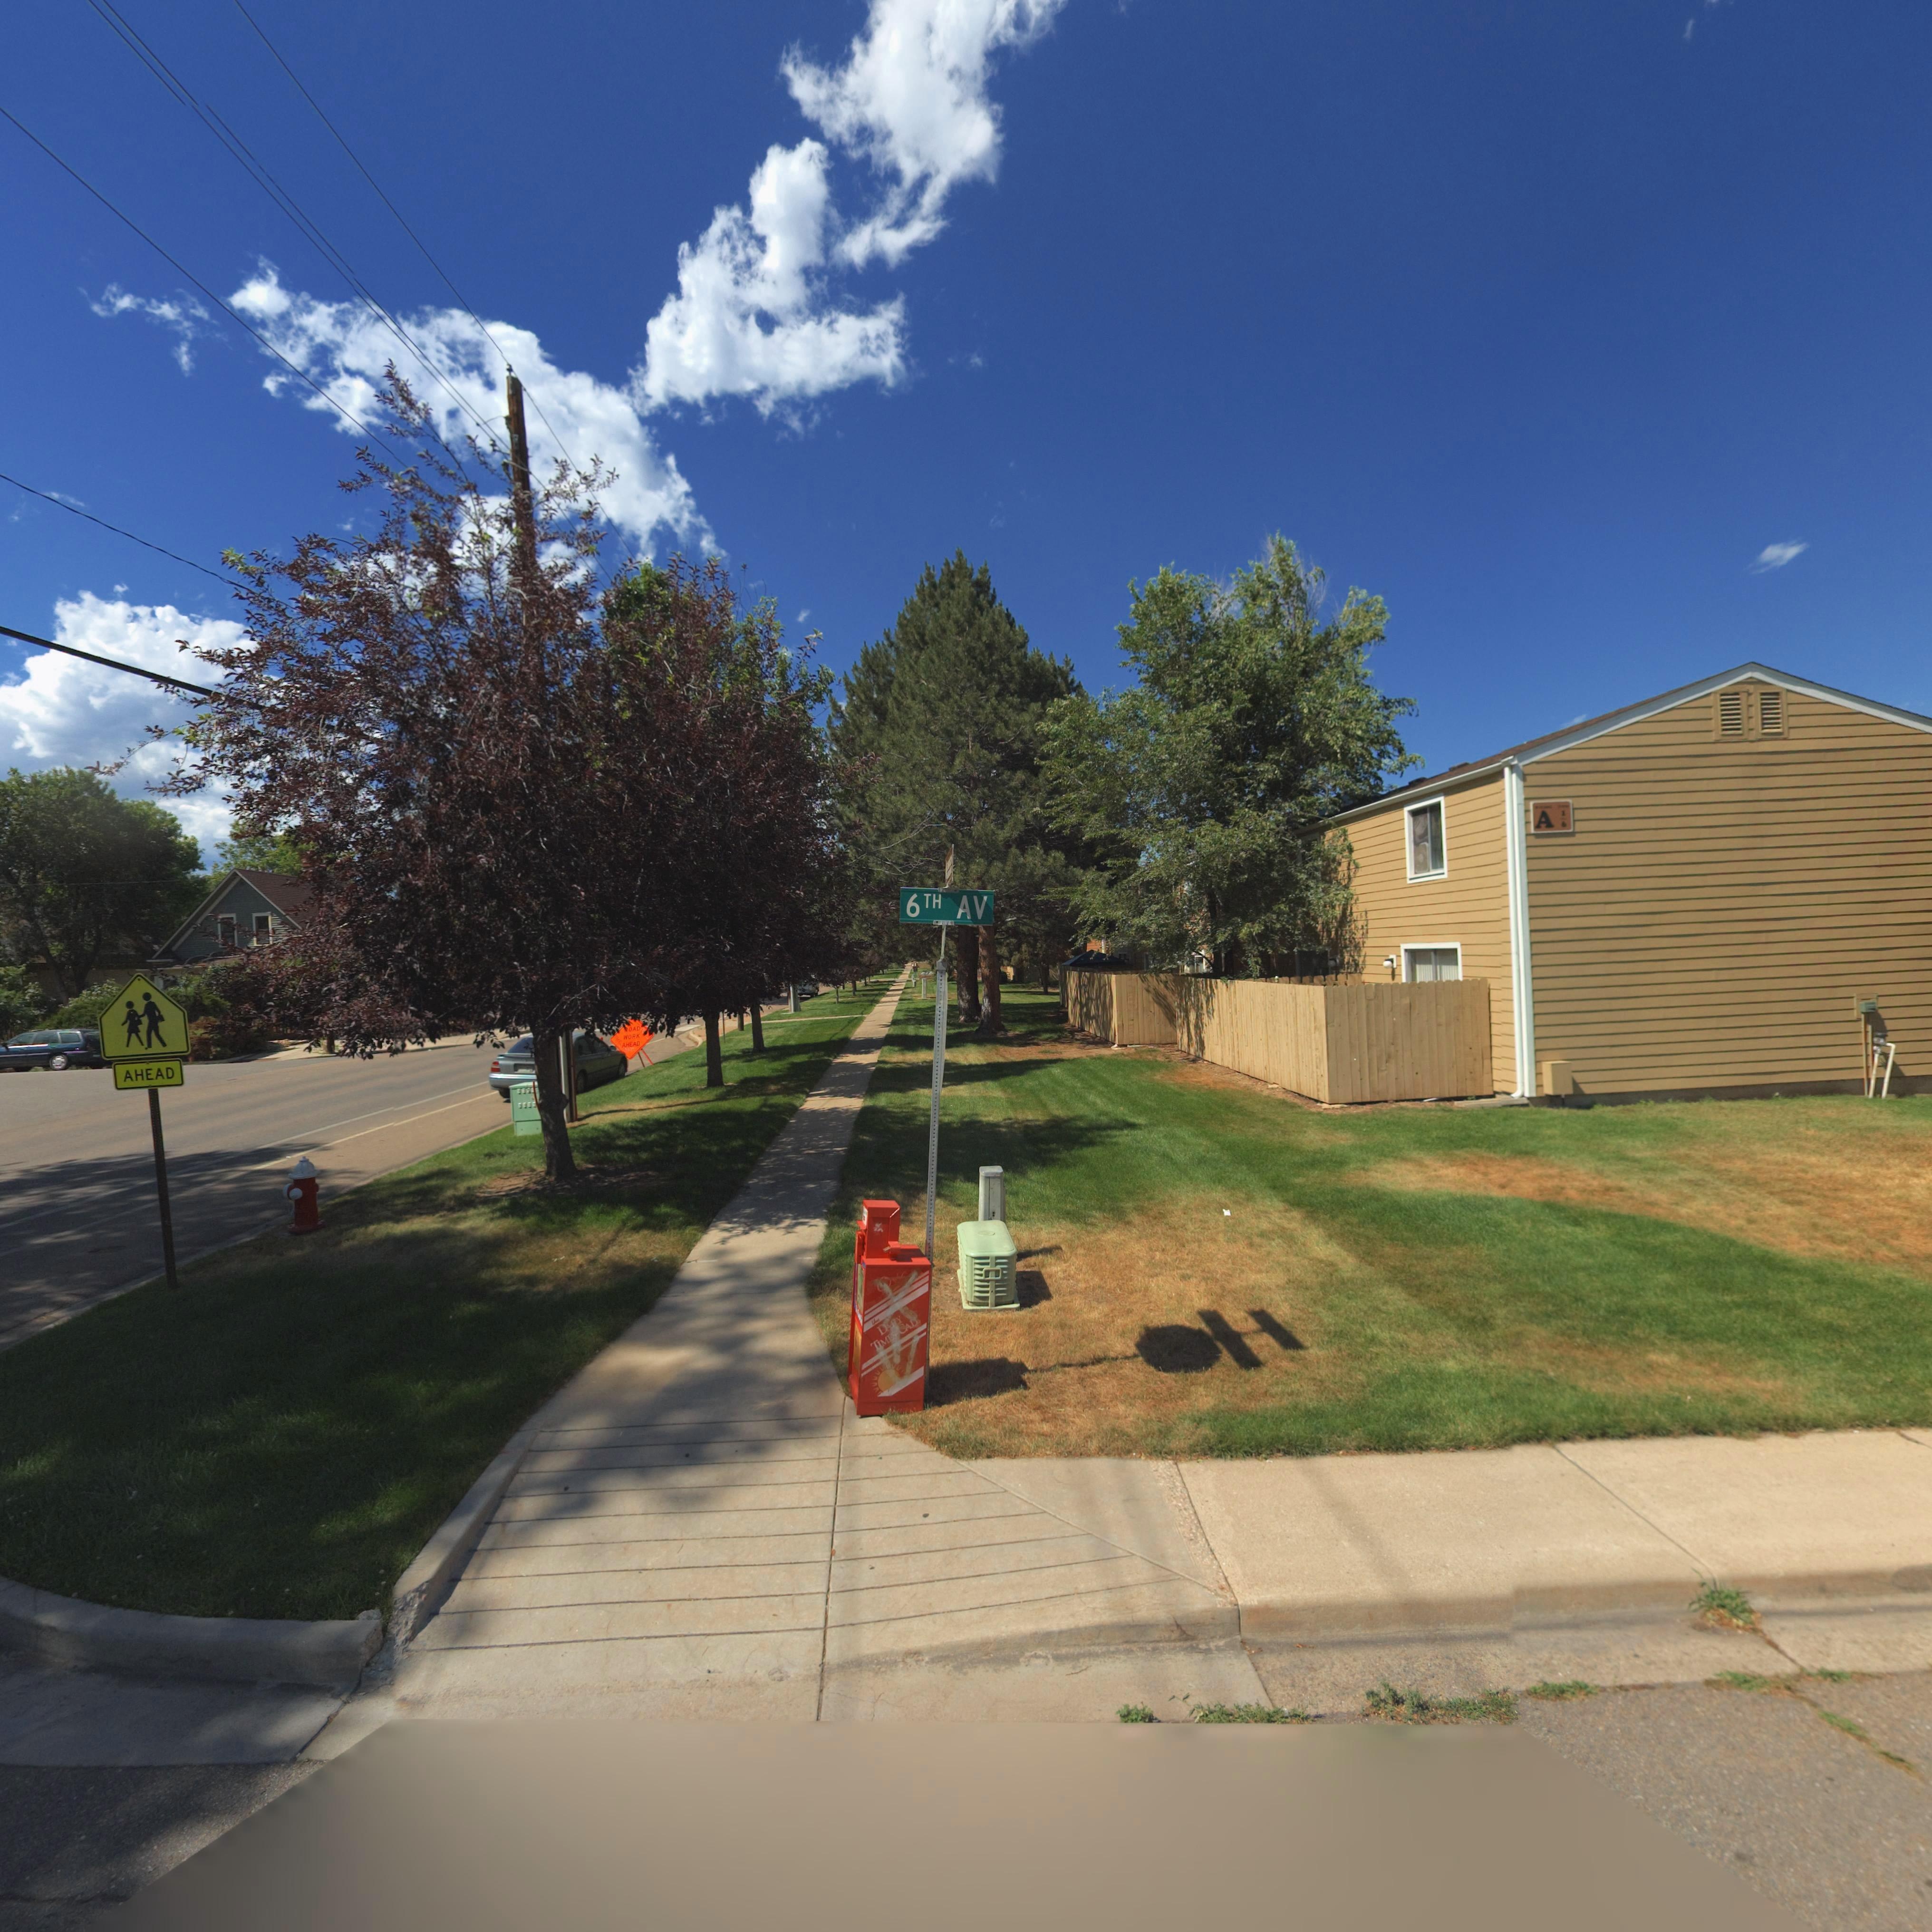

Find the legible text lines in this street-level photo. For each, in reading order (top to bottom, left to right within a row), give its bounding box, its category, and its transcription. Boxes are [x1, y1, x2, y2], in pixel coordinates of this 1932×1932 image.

[904, 891, 990, 921] StreetName: 6TH AV